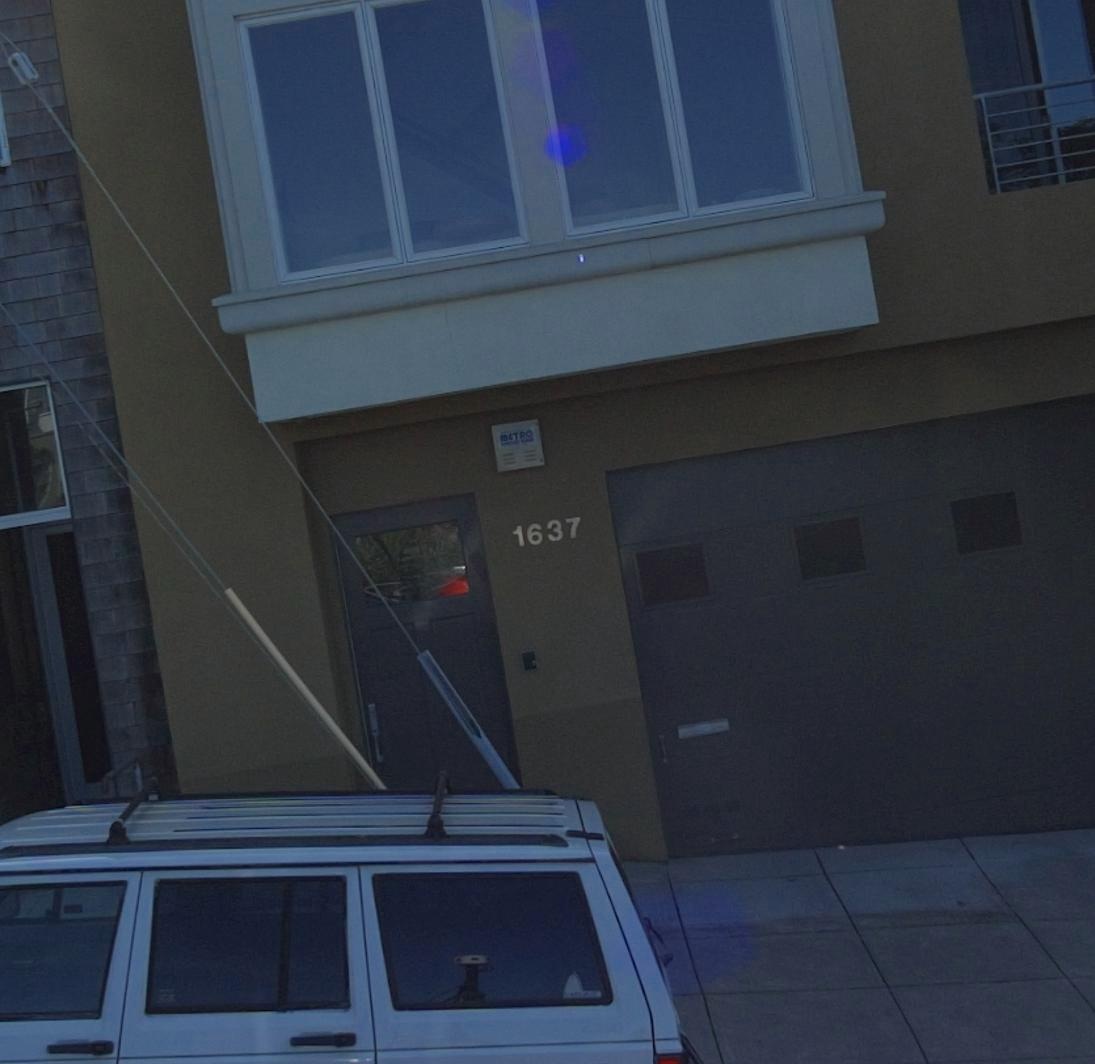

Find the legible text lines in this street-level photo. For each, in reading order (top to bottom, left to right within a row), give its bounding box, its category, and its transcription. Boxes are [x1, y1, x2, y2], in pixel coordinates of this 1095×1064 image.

[499, 428, 534, 444] None: *ETRO
[511, 515, 582, 548] StreetNumber: 1637